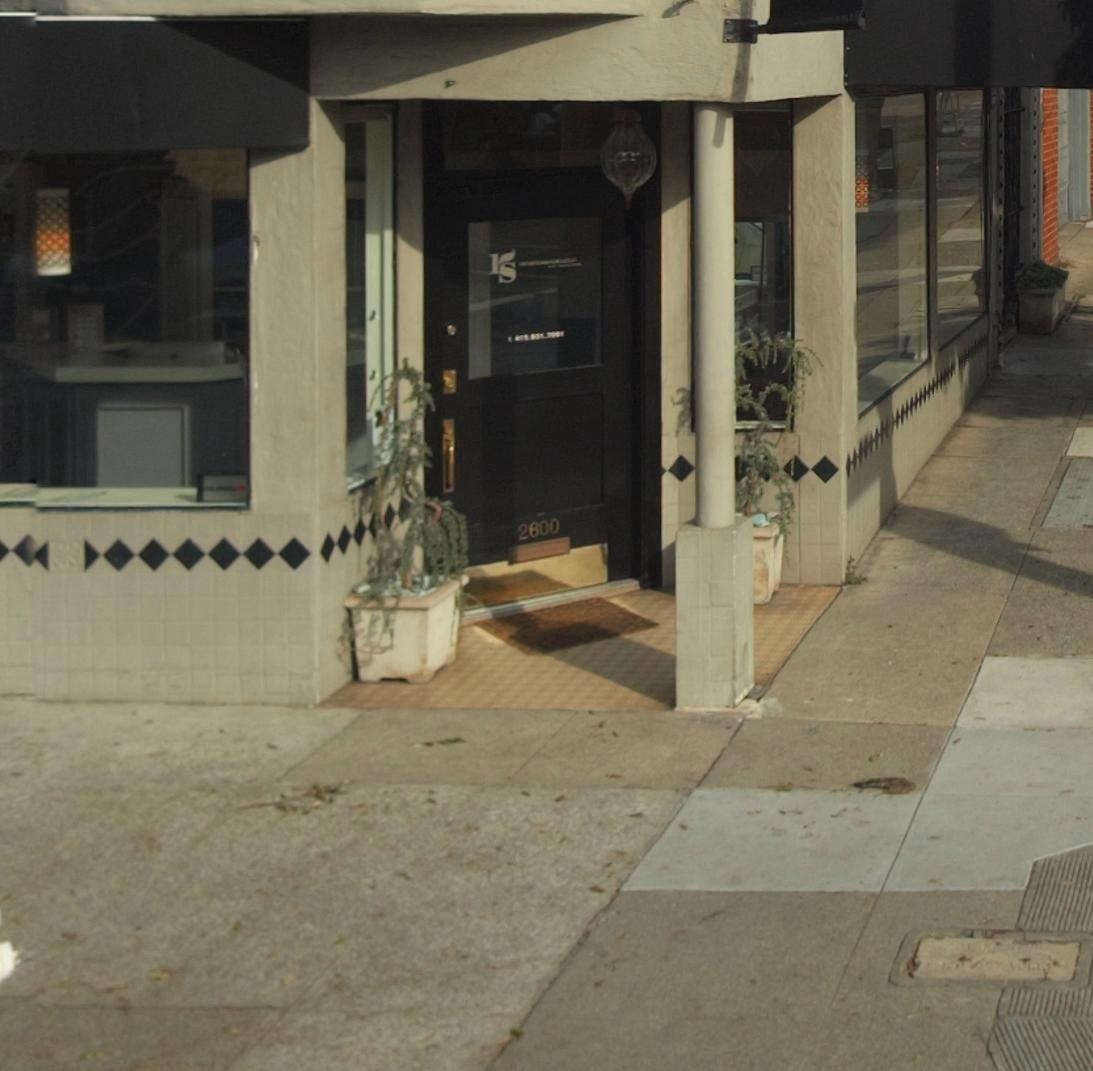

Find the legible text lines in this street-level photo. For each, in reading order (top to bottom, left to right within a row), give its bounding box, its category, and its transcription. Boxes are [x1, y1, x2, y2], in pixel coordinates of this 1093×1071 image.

[486, 250, 503, 278] None: I
[496, 259, 520, 286] None: S
[516, 513, 562, 544] StreetNumber: 2600